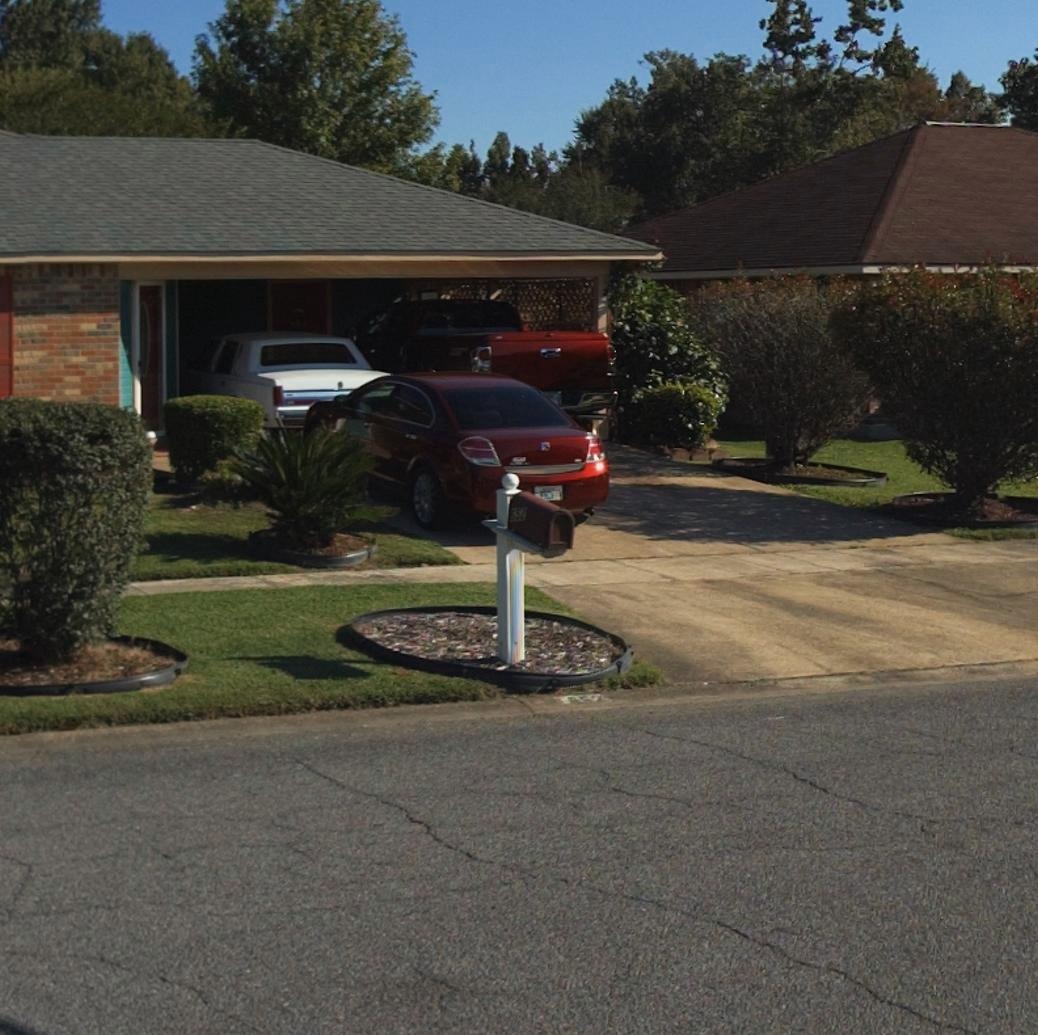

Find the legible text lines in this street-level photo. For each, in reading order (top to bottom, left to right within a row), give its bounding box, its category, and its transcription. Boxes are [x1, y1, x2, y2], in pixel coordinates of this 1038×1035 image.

[510, 508, 527, 521] StreetNumber: 652